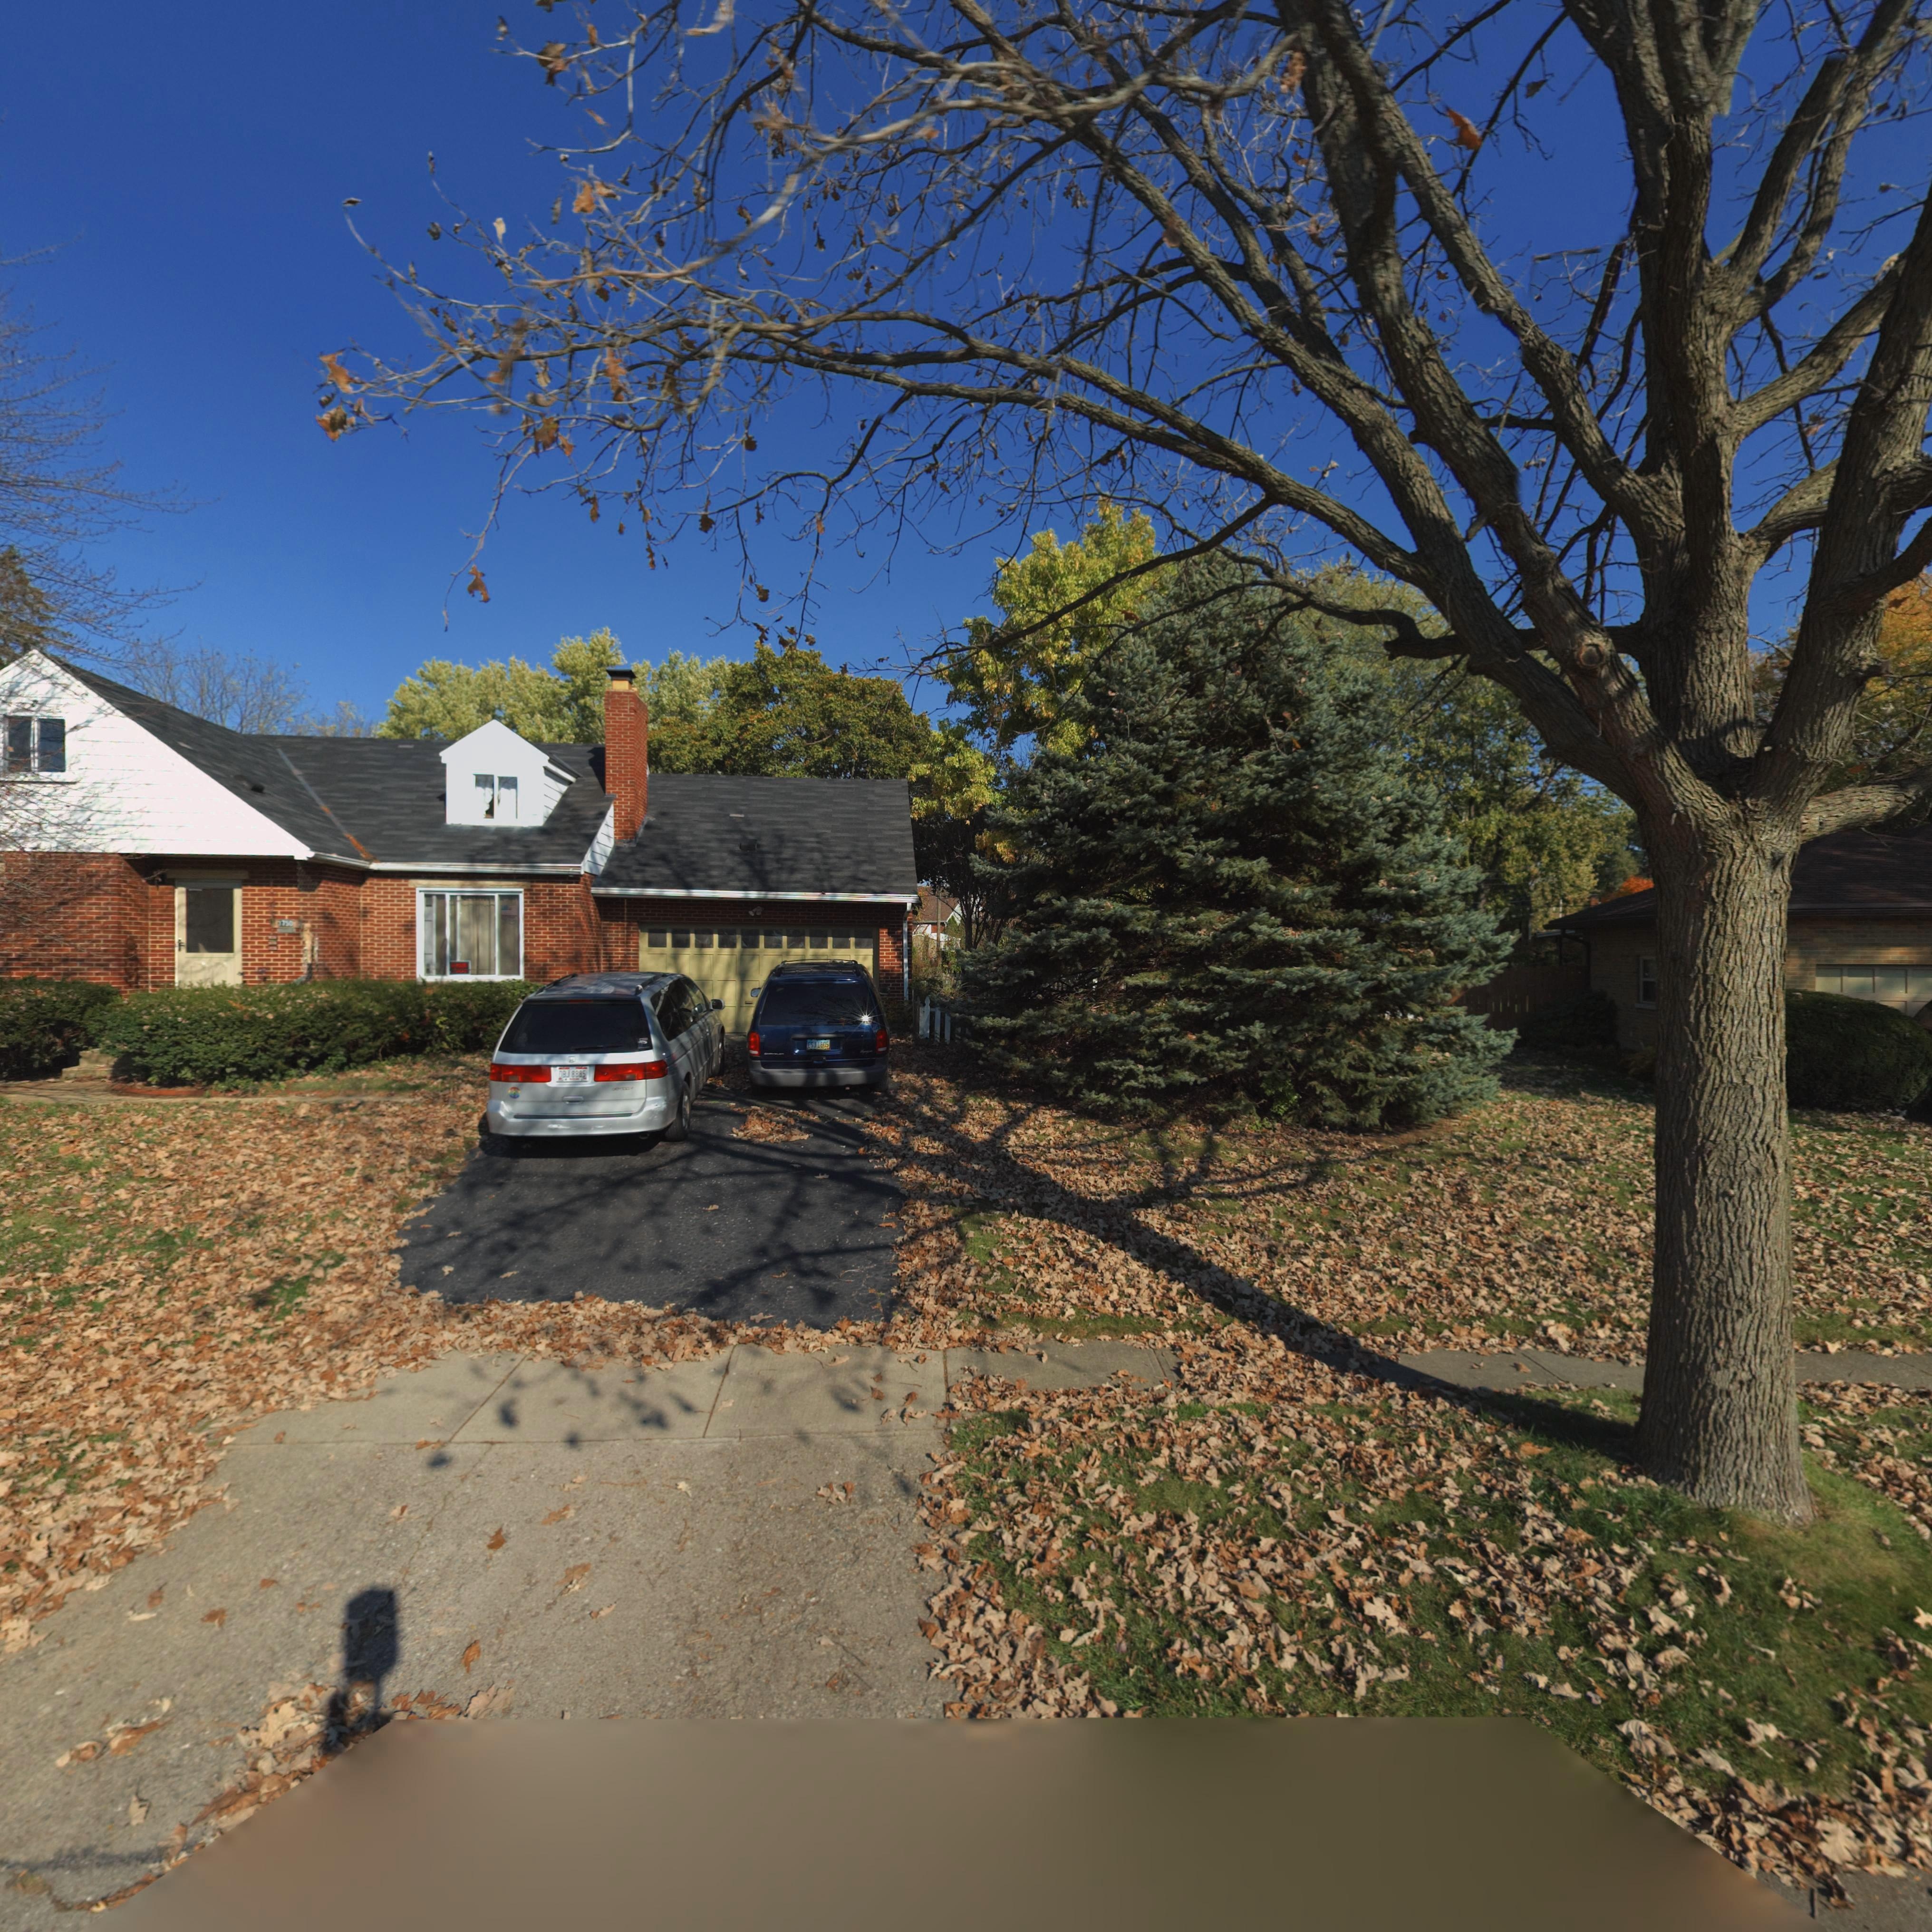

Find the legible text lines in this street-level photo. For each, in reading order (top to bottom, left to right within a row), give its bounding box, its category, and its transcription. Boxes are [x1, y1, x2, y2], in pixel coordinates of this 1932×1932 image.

[277, 920, 294, 927] StreetNumber: 3750
[807, 1041, 829, 1048] None: ESJ*1805
[559, 1070, 586, 1078] None: DBJ*8885